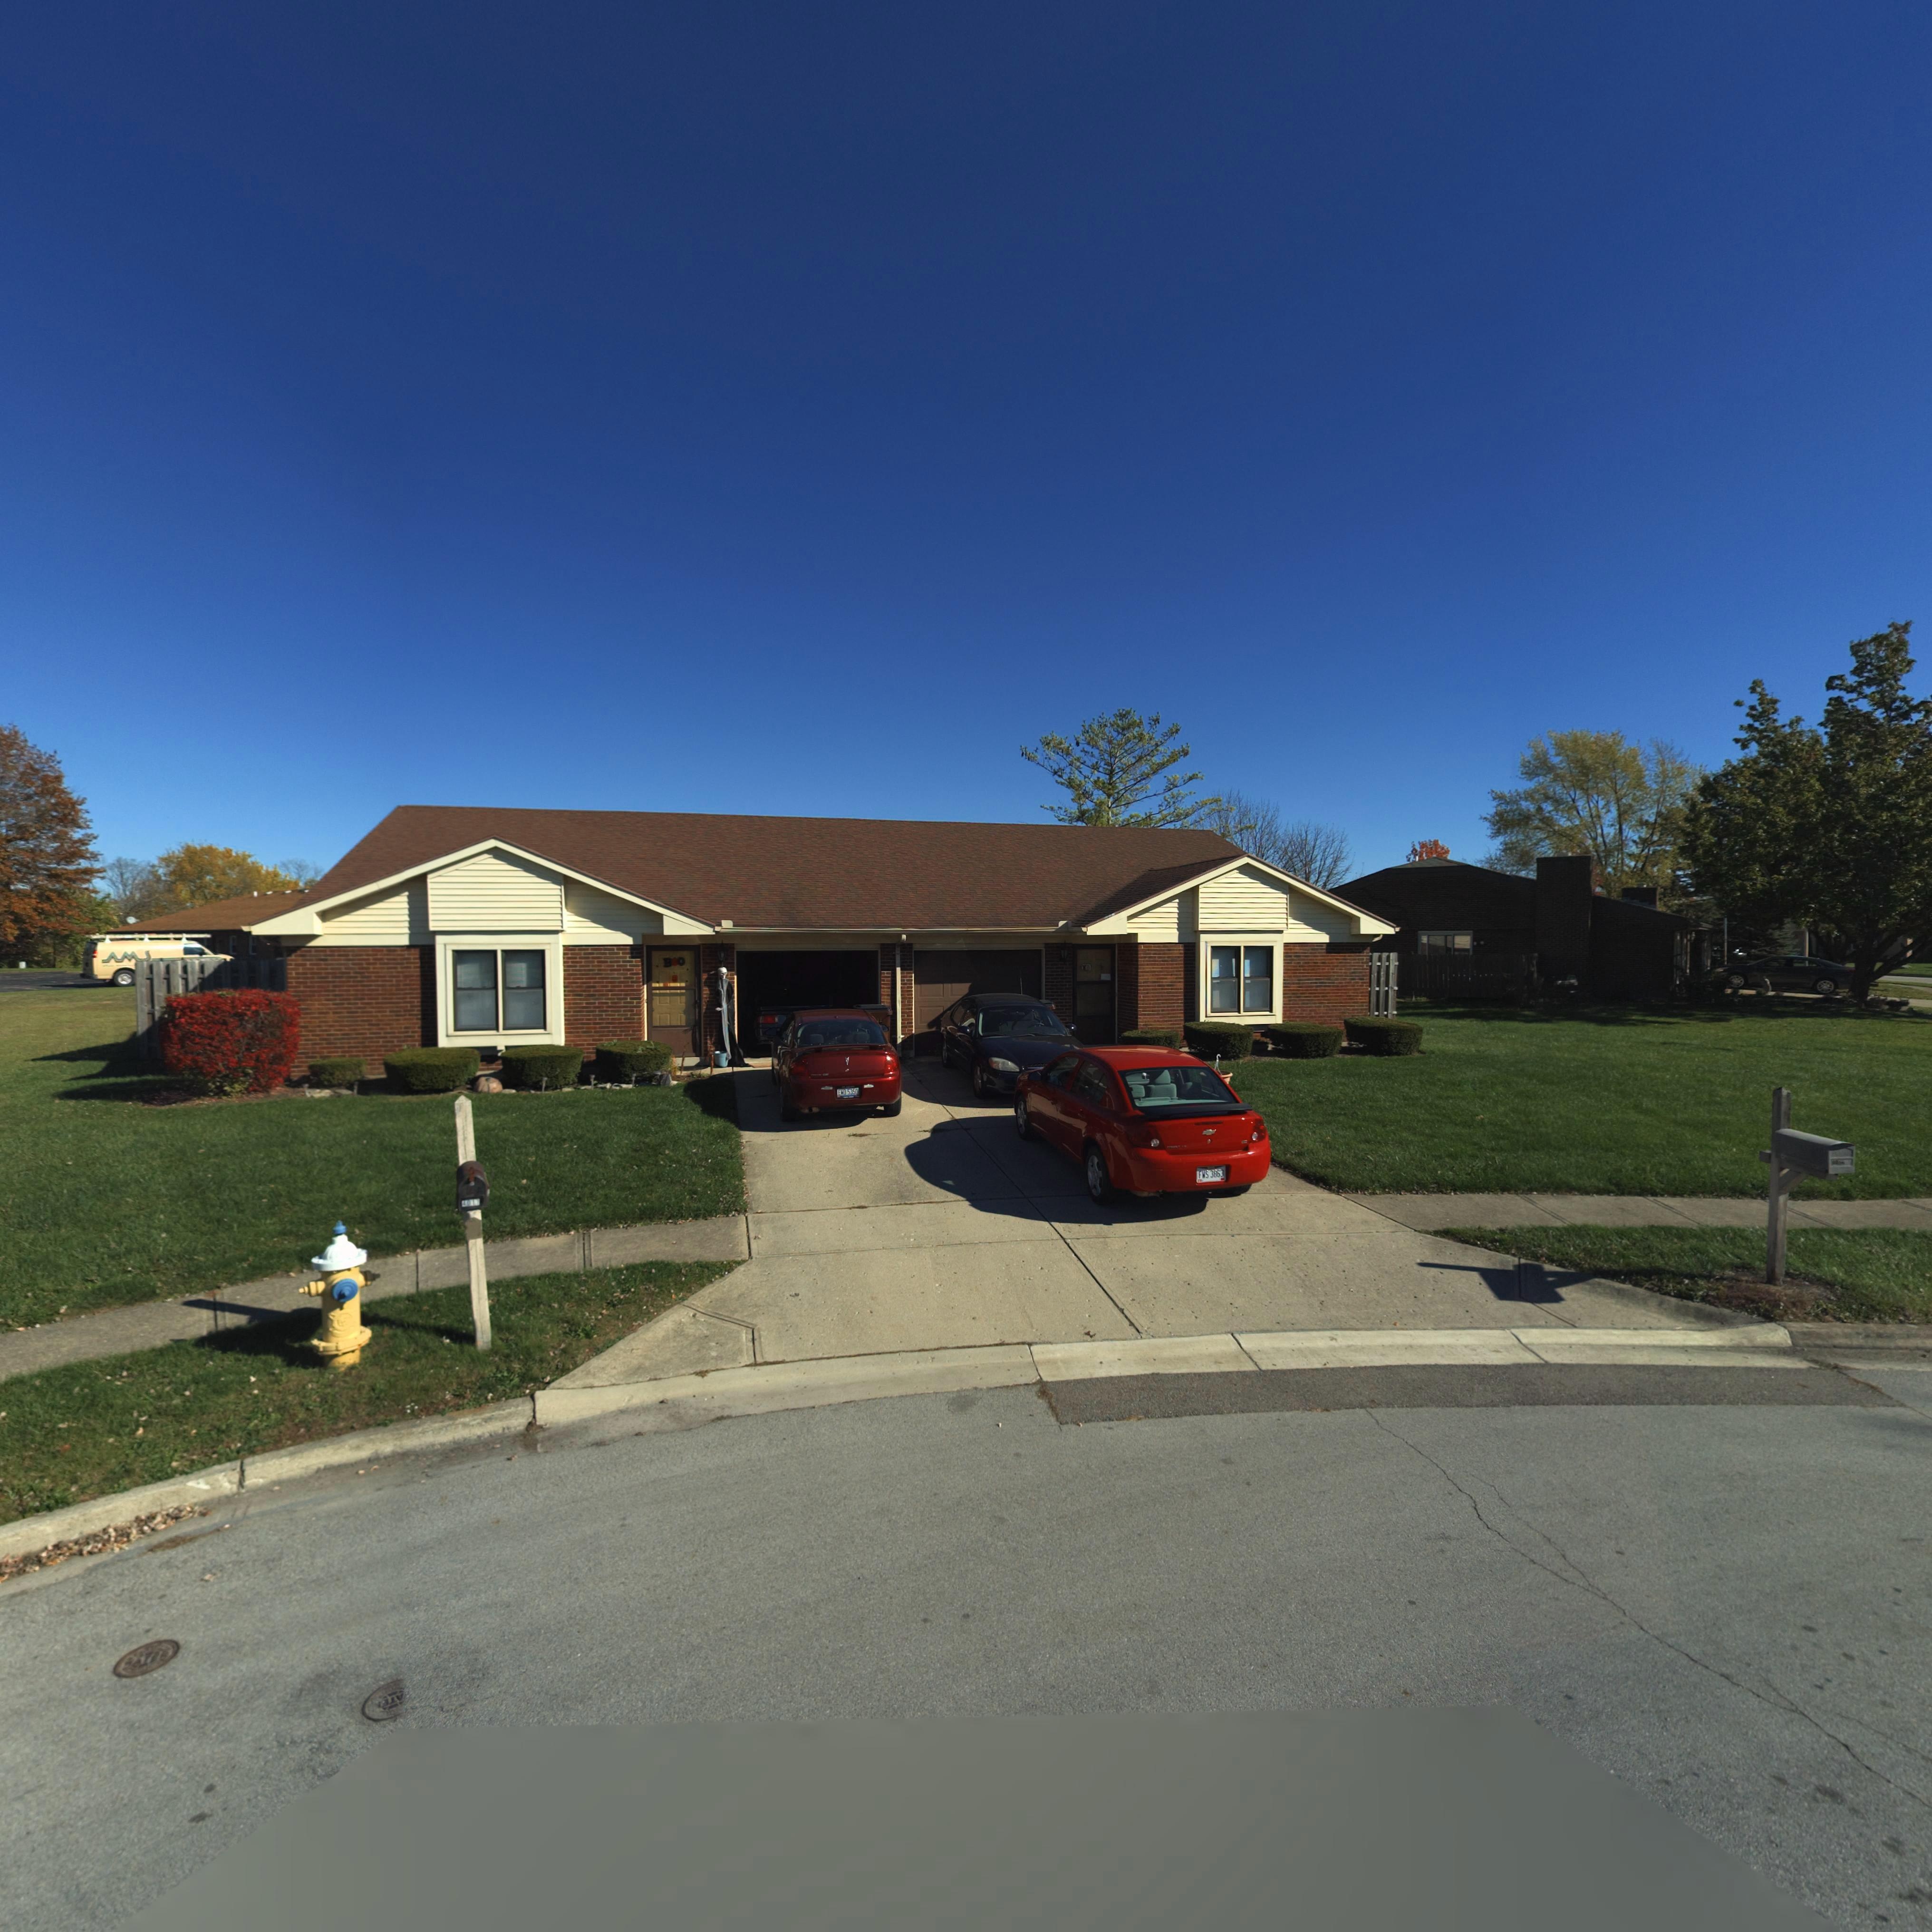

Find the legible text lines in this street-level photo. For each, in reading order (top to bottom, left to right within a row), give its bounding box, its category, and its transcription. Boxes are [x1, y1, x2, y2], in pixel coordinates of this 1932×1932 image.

[462, 1198, 480, 1207] StreetNumber: 4017